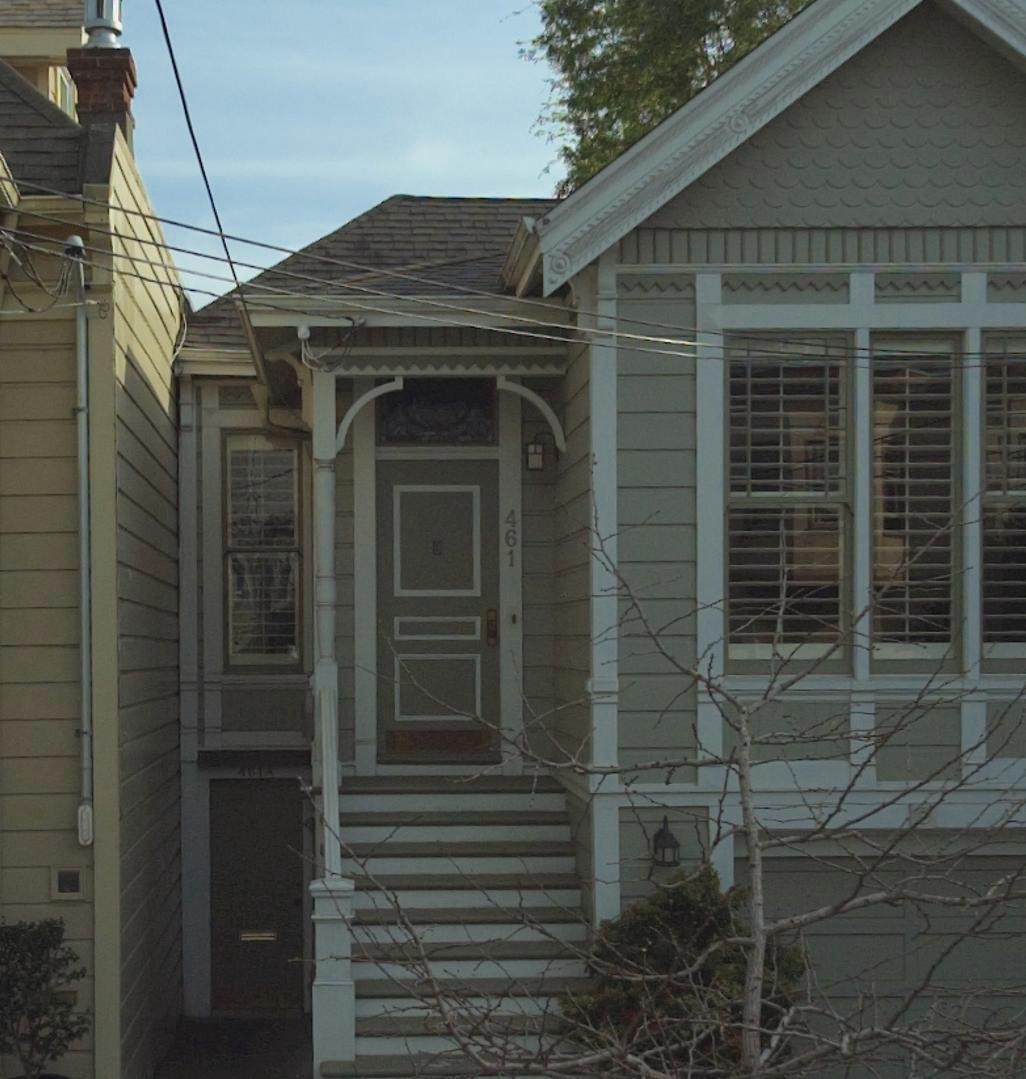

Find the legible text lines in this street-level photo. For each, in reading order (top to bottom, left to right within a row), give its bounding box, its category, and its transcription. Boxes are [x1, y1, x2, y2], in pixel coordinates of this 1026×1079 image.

[503, 508, 518, 567] StreetNumber: 461